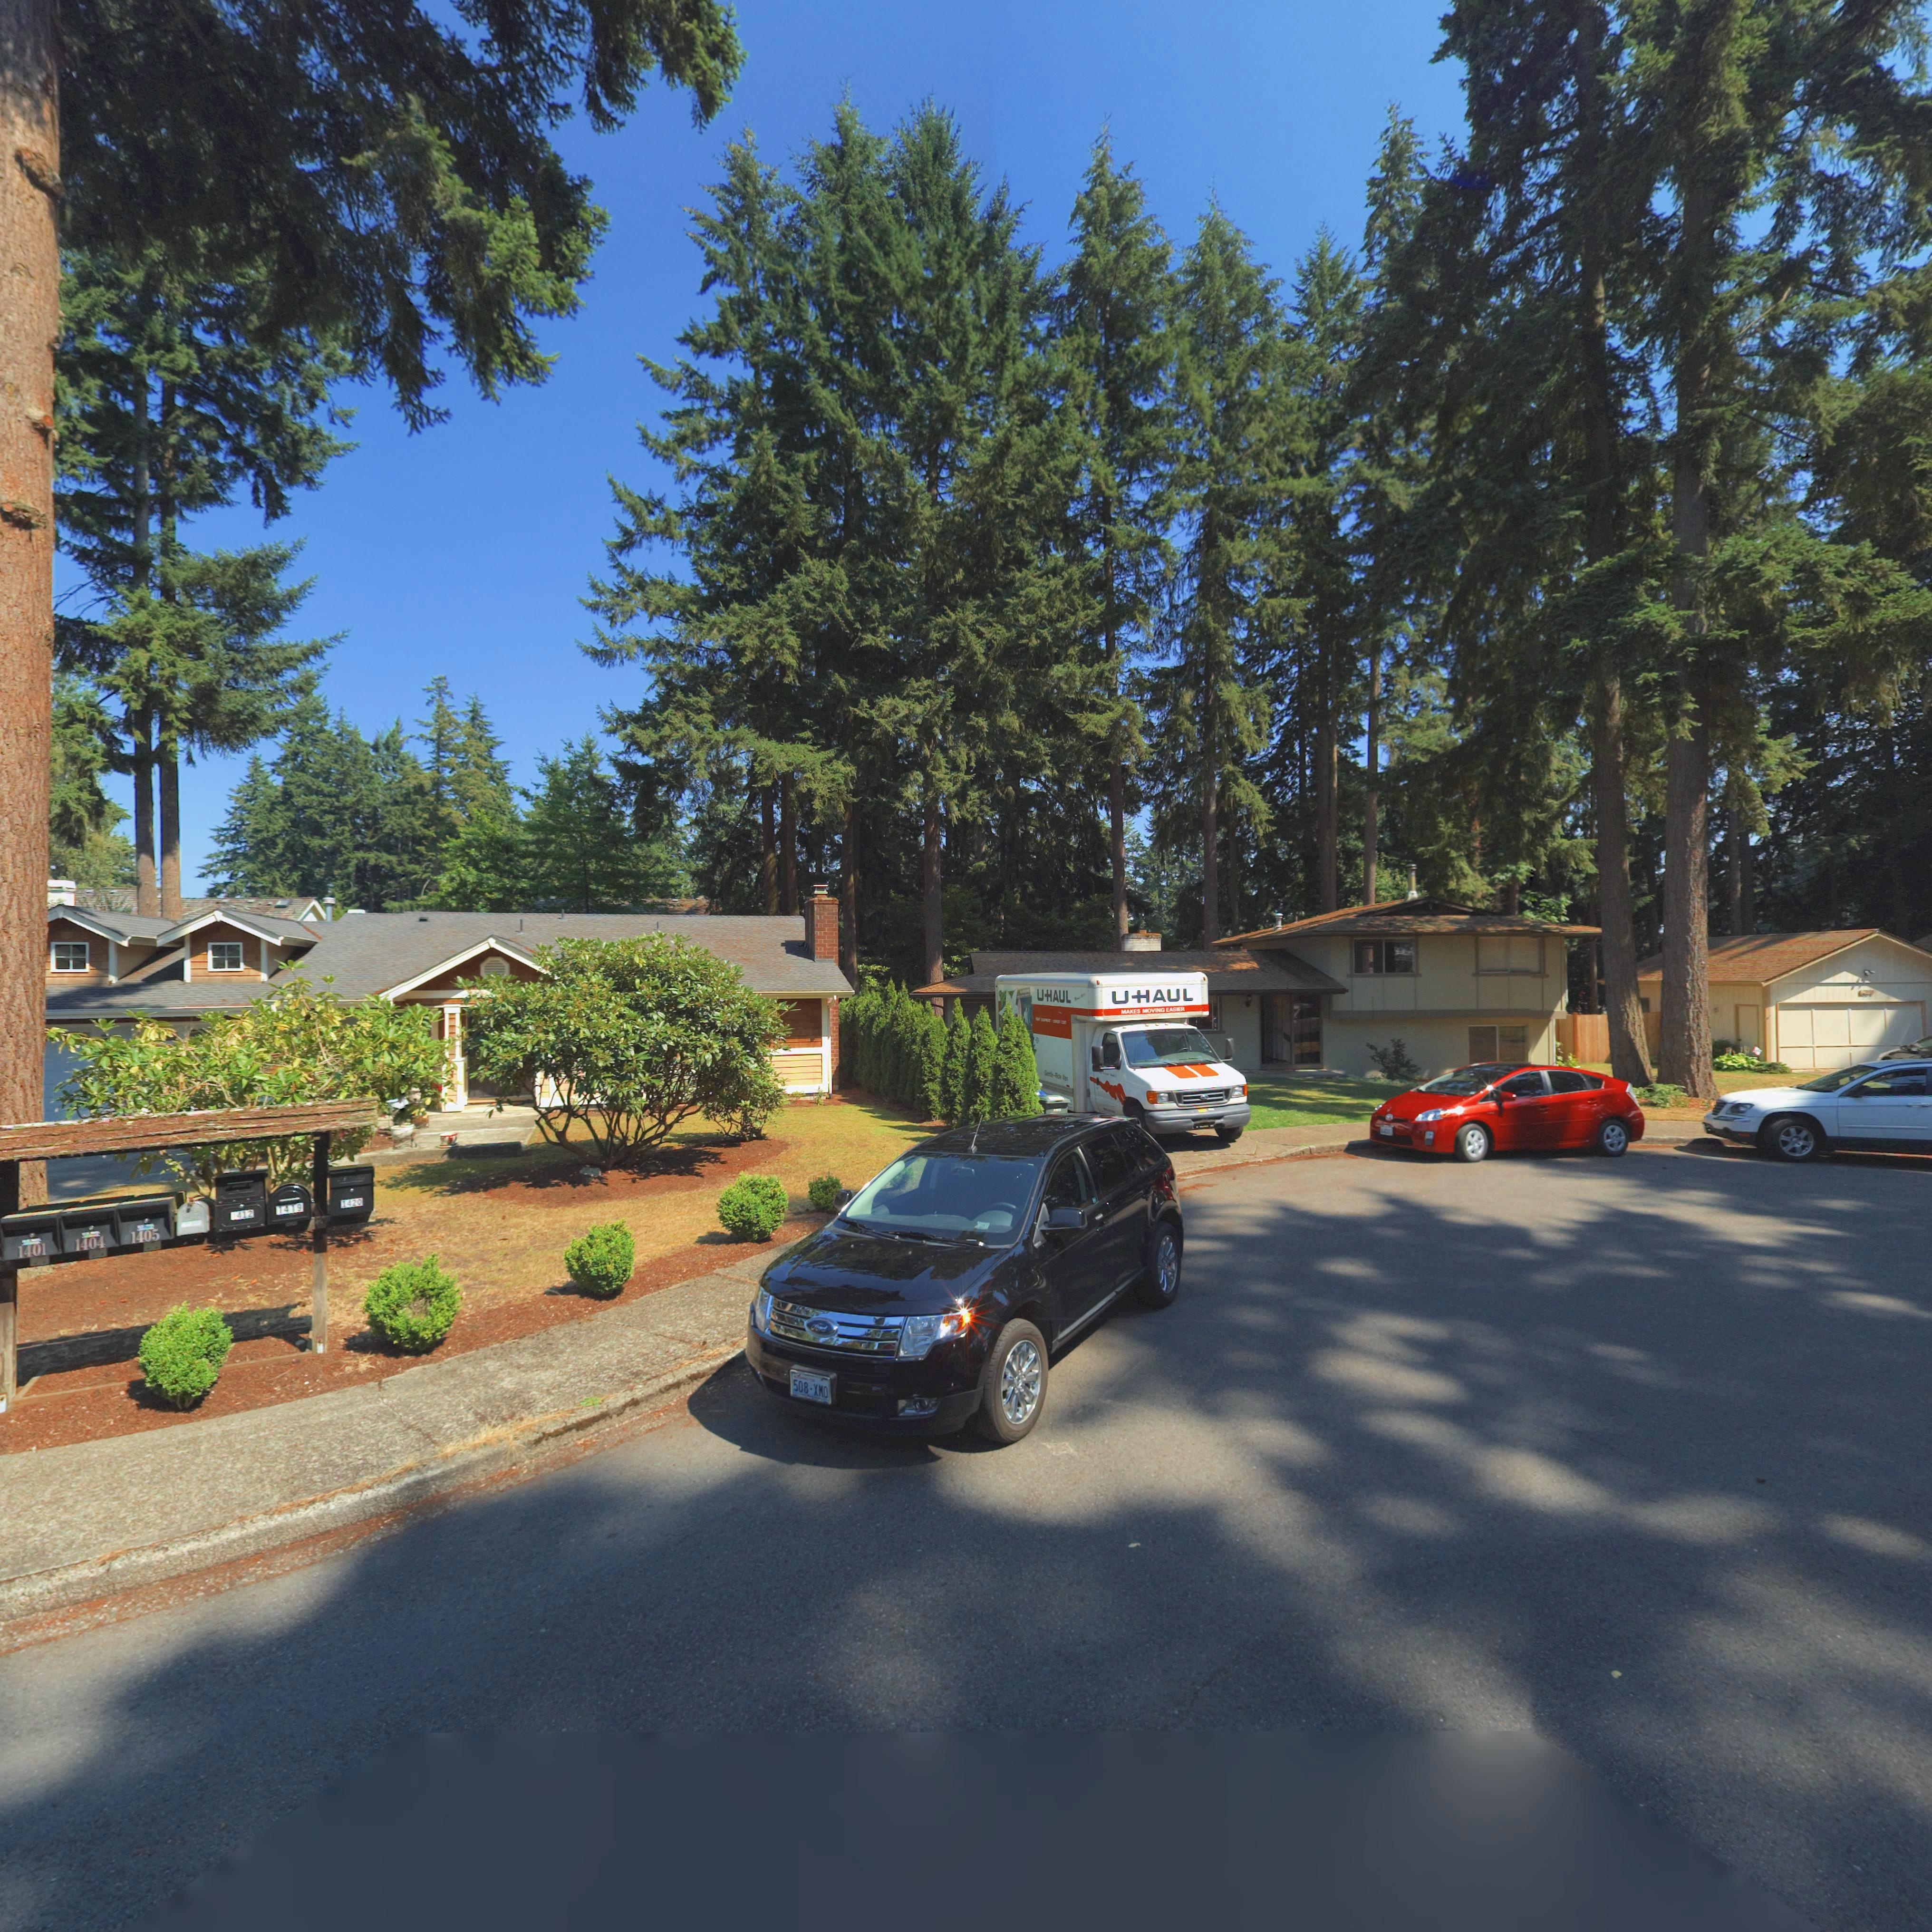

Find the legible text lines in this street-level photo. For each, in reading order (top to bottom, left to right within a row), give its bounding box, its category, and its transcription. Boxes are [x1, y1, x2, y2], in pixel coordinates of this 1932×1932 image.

[231, 1209, 253, 1220] StreetNumber: 1412
[278, 1202, 302, 1215] StreetNumber: 1419
[341, 1198, 362, 1208] StreetNumber: 1420
[16, 1241, 48, 1259] StreetNumber: 1401
[74, 1234, 106, 1252] StreetNumber: 1404
[129, 1227, 161, 1244] StreetNumber: 1405